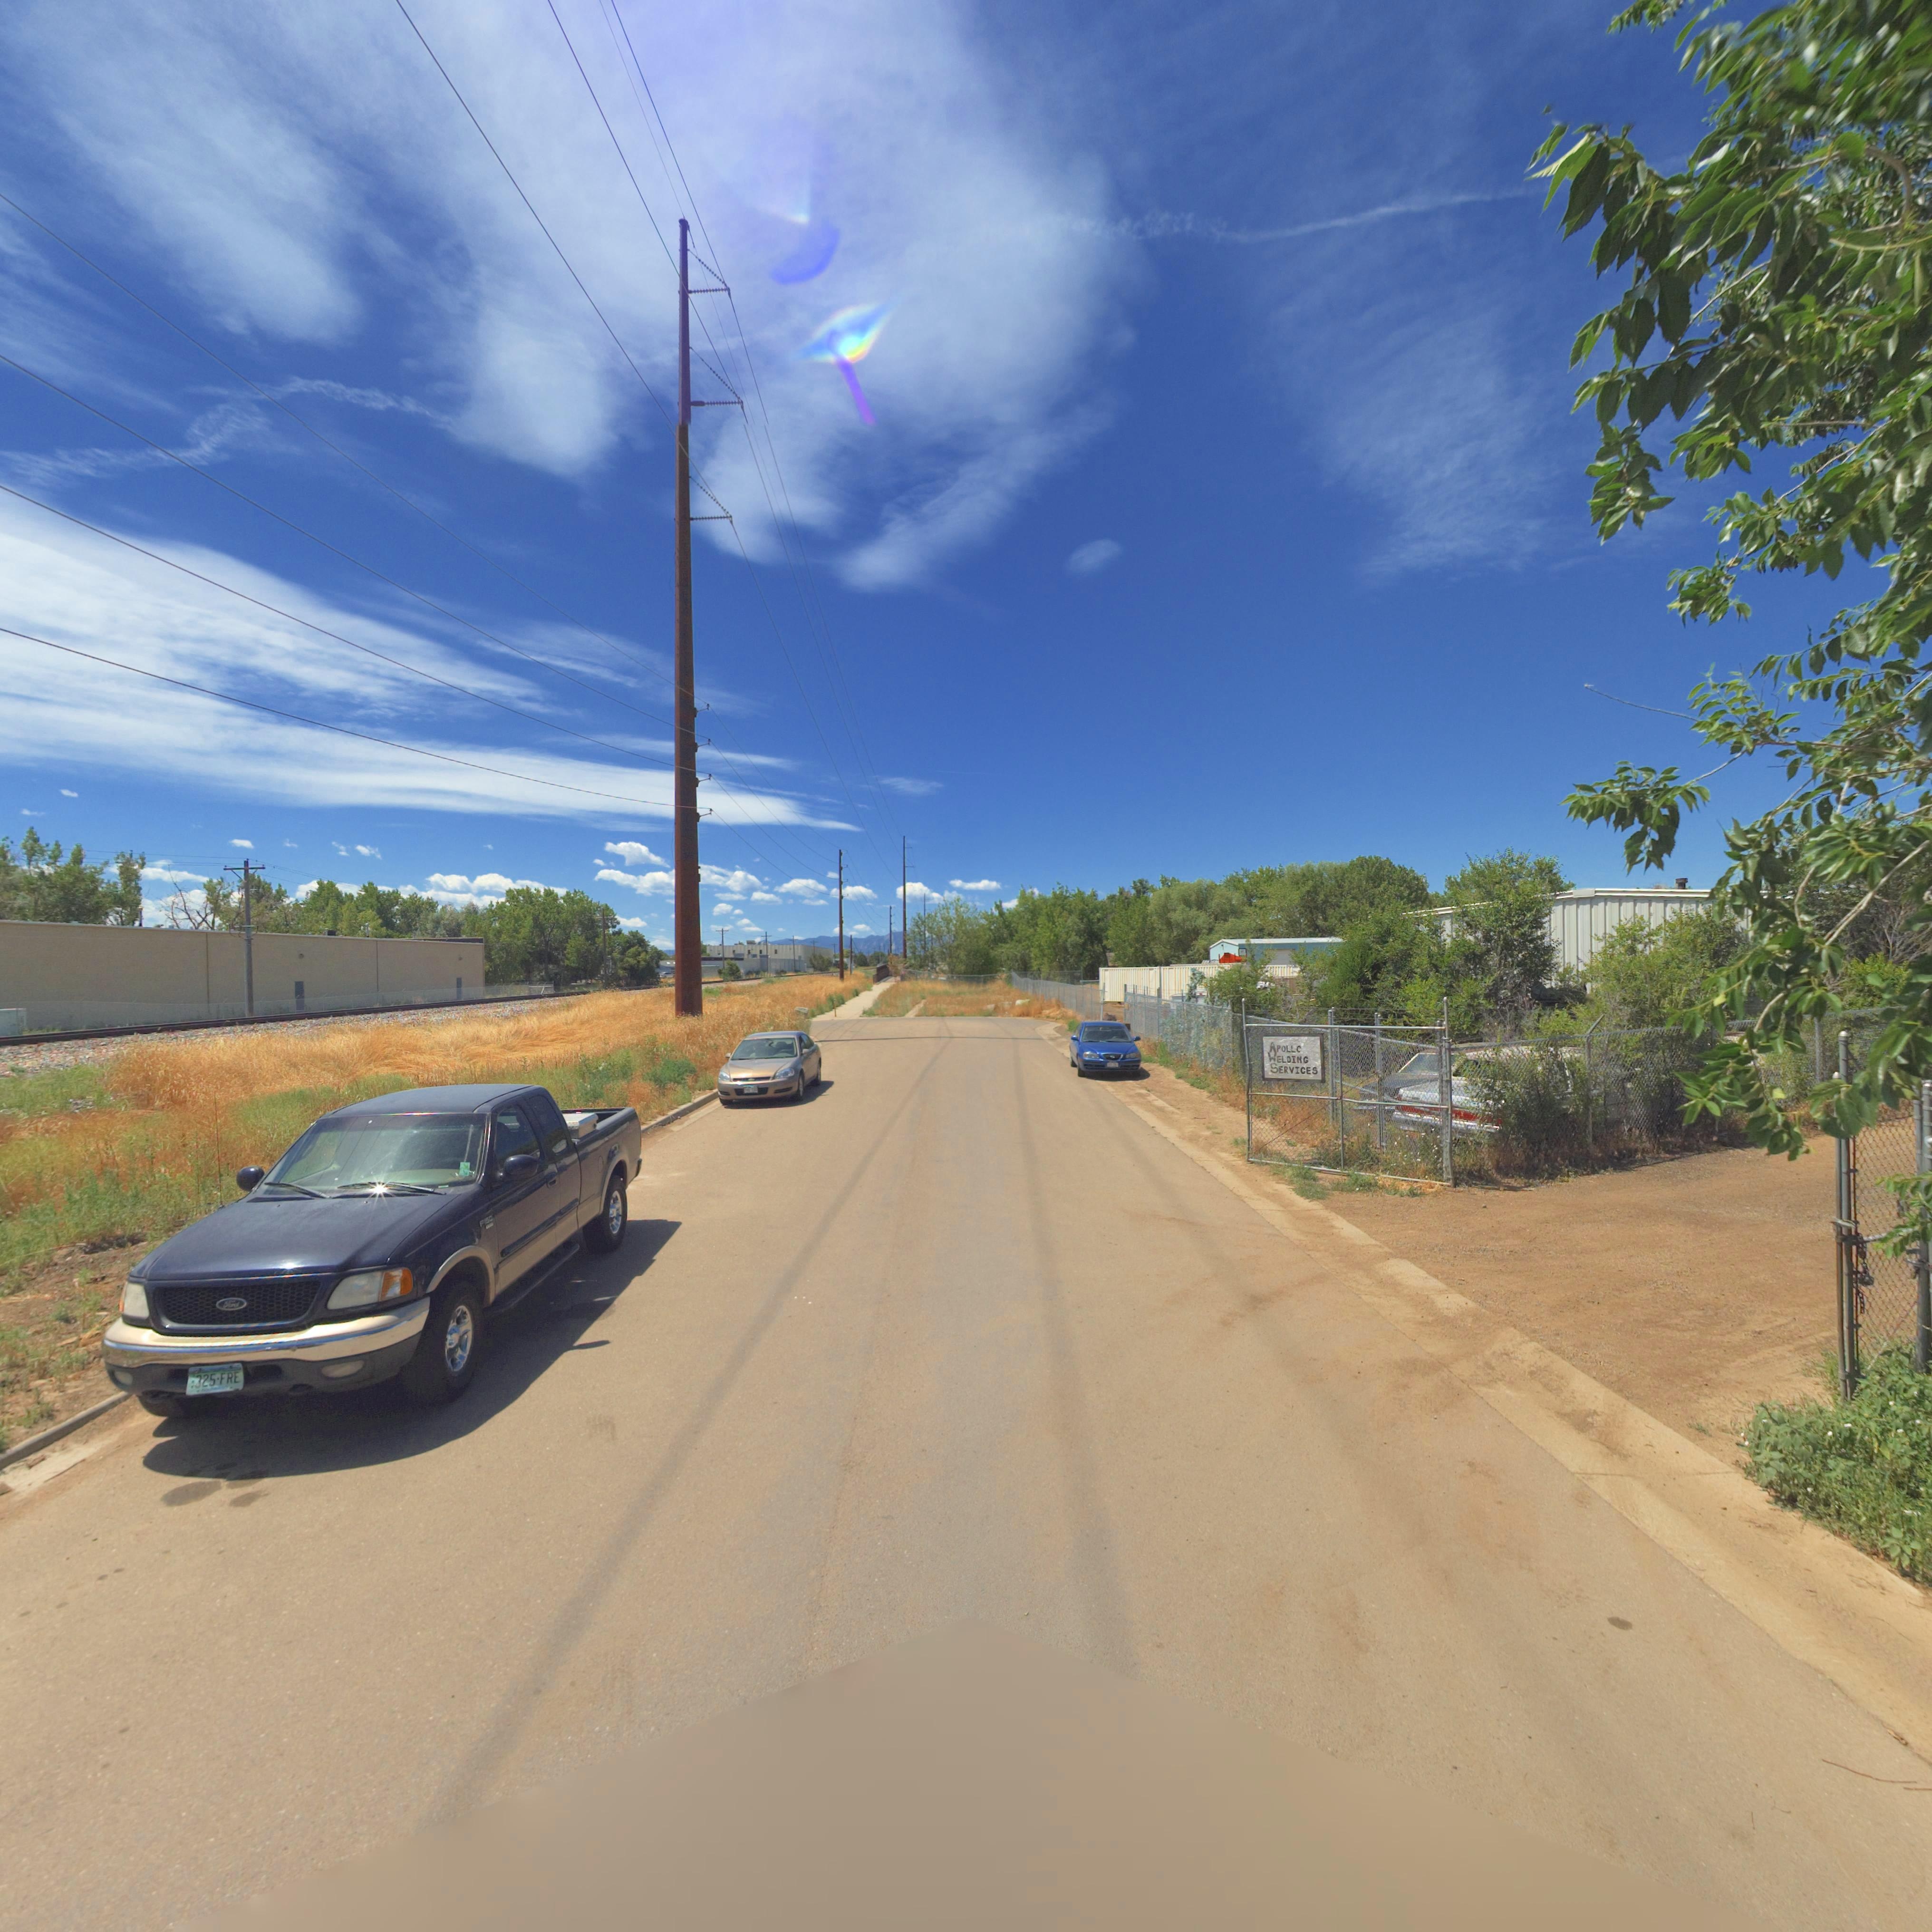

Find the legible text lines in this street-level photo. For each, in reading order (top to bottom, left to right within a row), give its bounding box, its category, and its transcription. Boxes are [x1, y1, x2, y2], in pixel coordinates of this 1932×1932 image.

[1268, 1041, 1302, 1053] BusinessName: APOLLC
[1266, 1052, 1309, 1063] BusinessName: WELDING
[1269, 1063, 1318, 1074] BusinessName: SERVICES